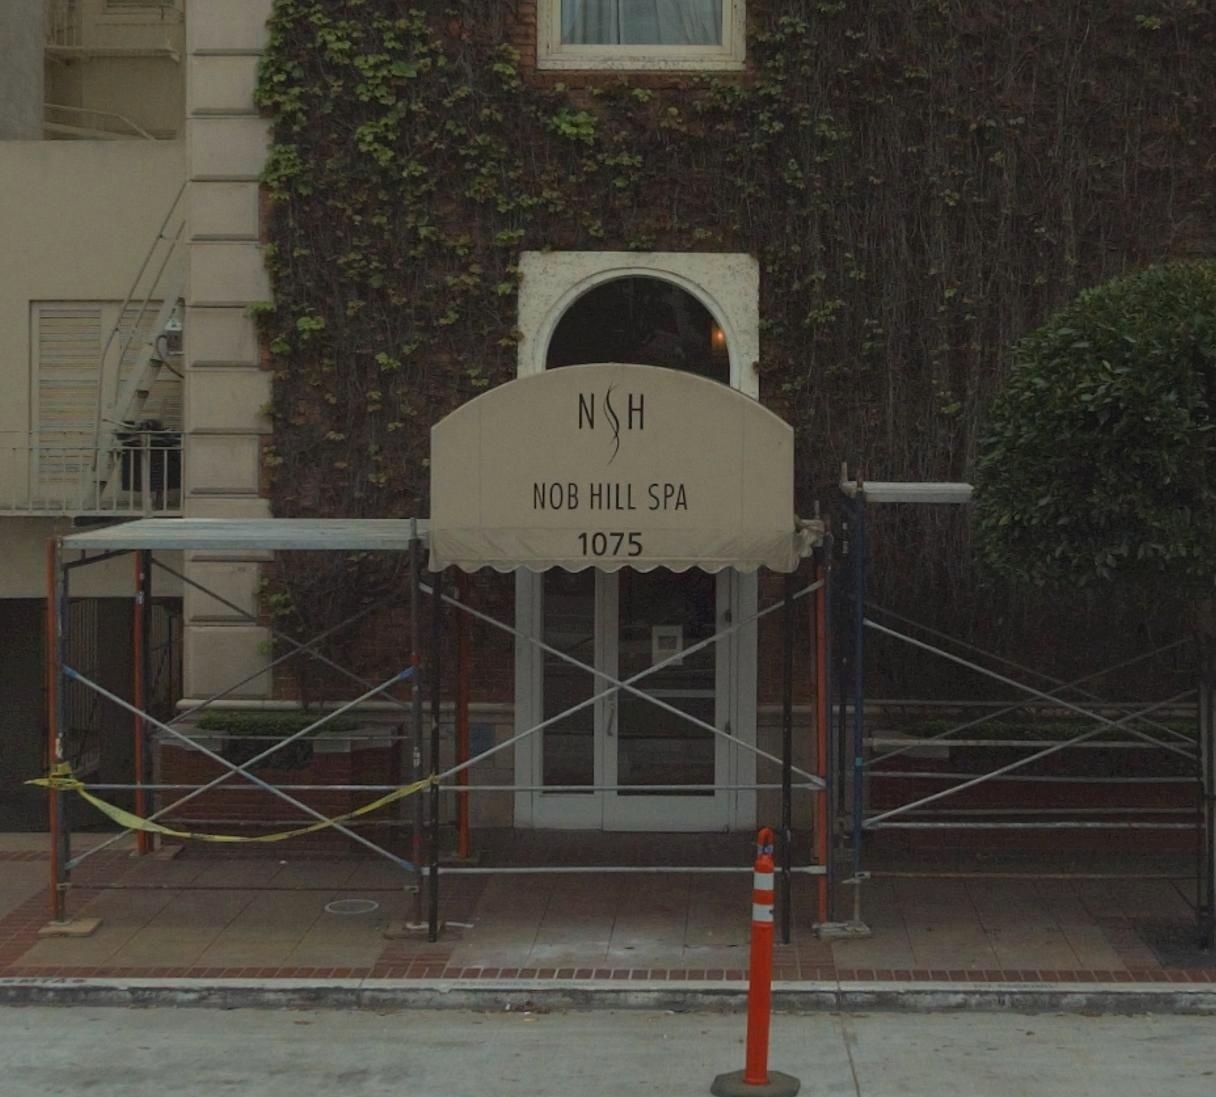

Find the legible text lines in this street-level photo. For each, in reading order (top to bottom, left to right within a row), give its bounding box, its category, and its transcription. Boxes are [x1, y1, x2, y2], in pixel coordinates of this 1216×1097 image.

[578, 391, 595, 430] None: N
[627, 392, 645, 431] None: H
[532, 481, 689, 511] BusinessName: NOB HILL SPA
[576, 531, 644, 558] StreetNumber: 1075